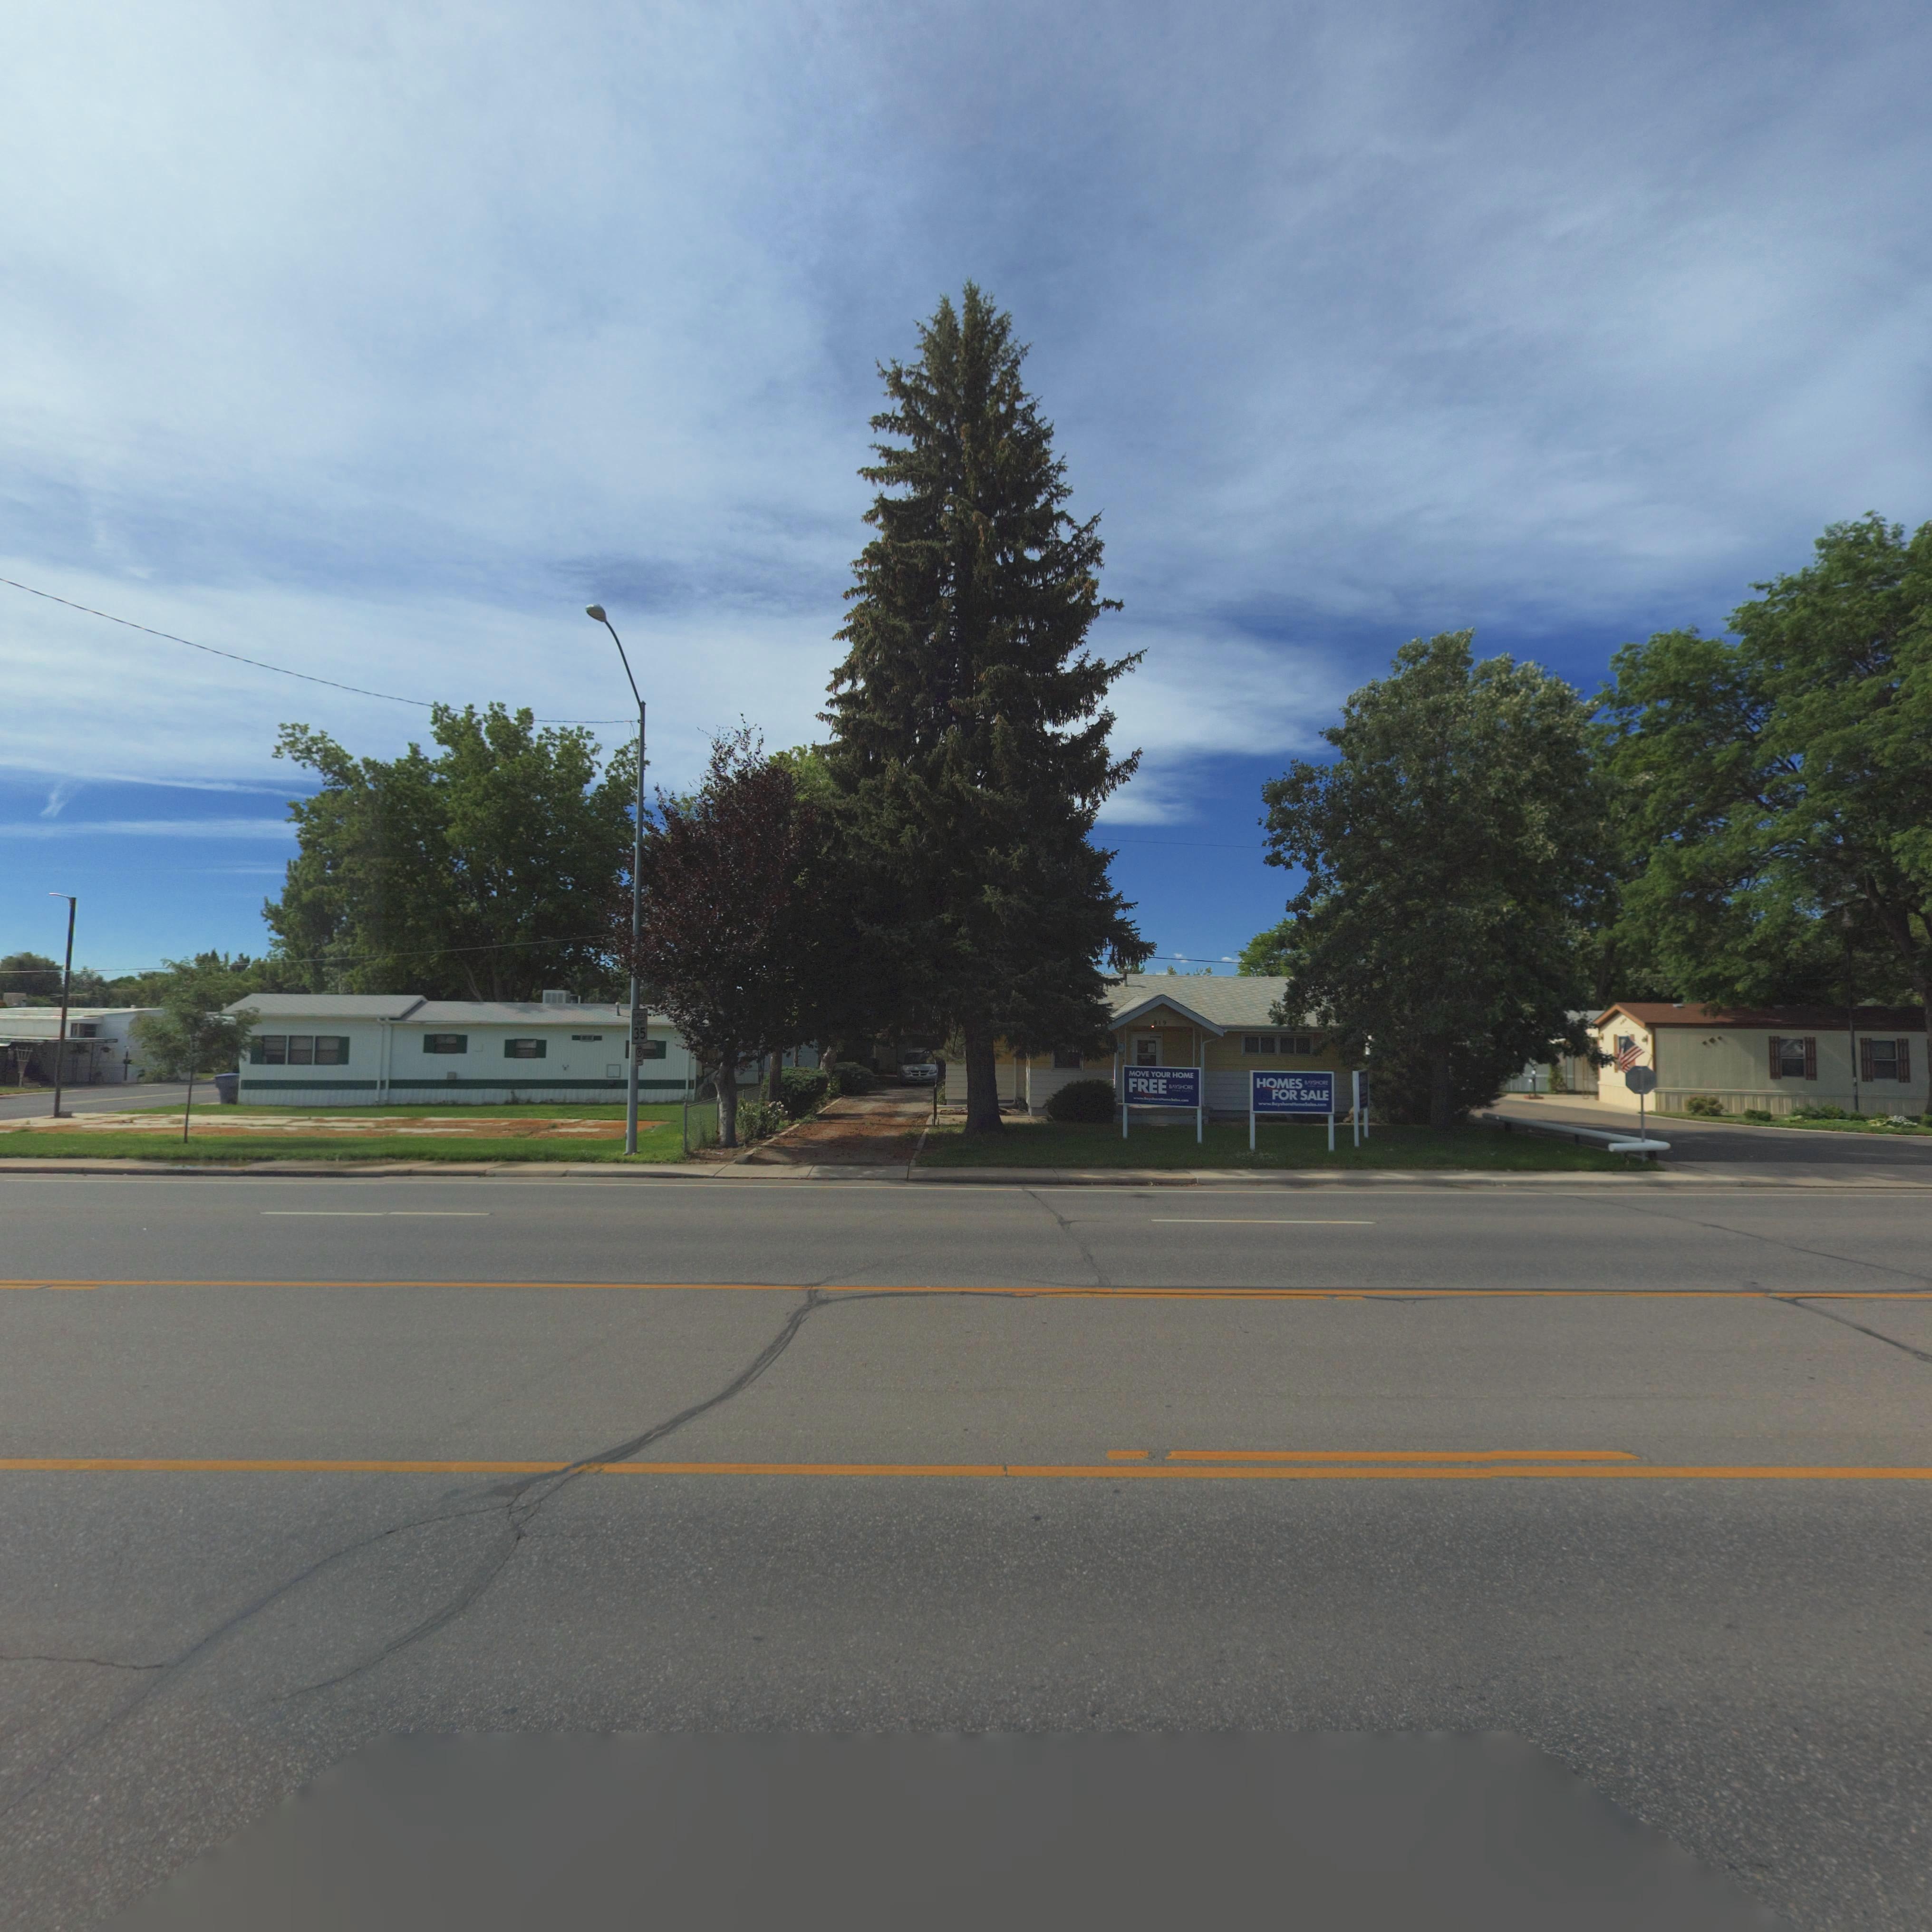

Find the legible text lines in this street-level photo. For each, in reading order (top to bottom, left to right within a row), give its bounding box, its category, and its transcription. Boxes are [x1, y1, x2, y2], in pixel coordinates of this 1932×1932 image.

[1153, 1019, 1166, 1025] StreetNumber: 819